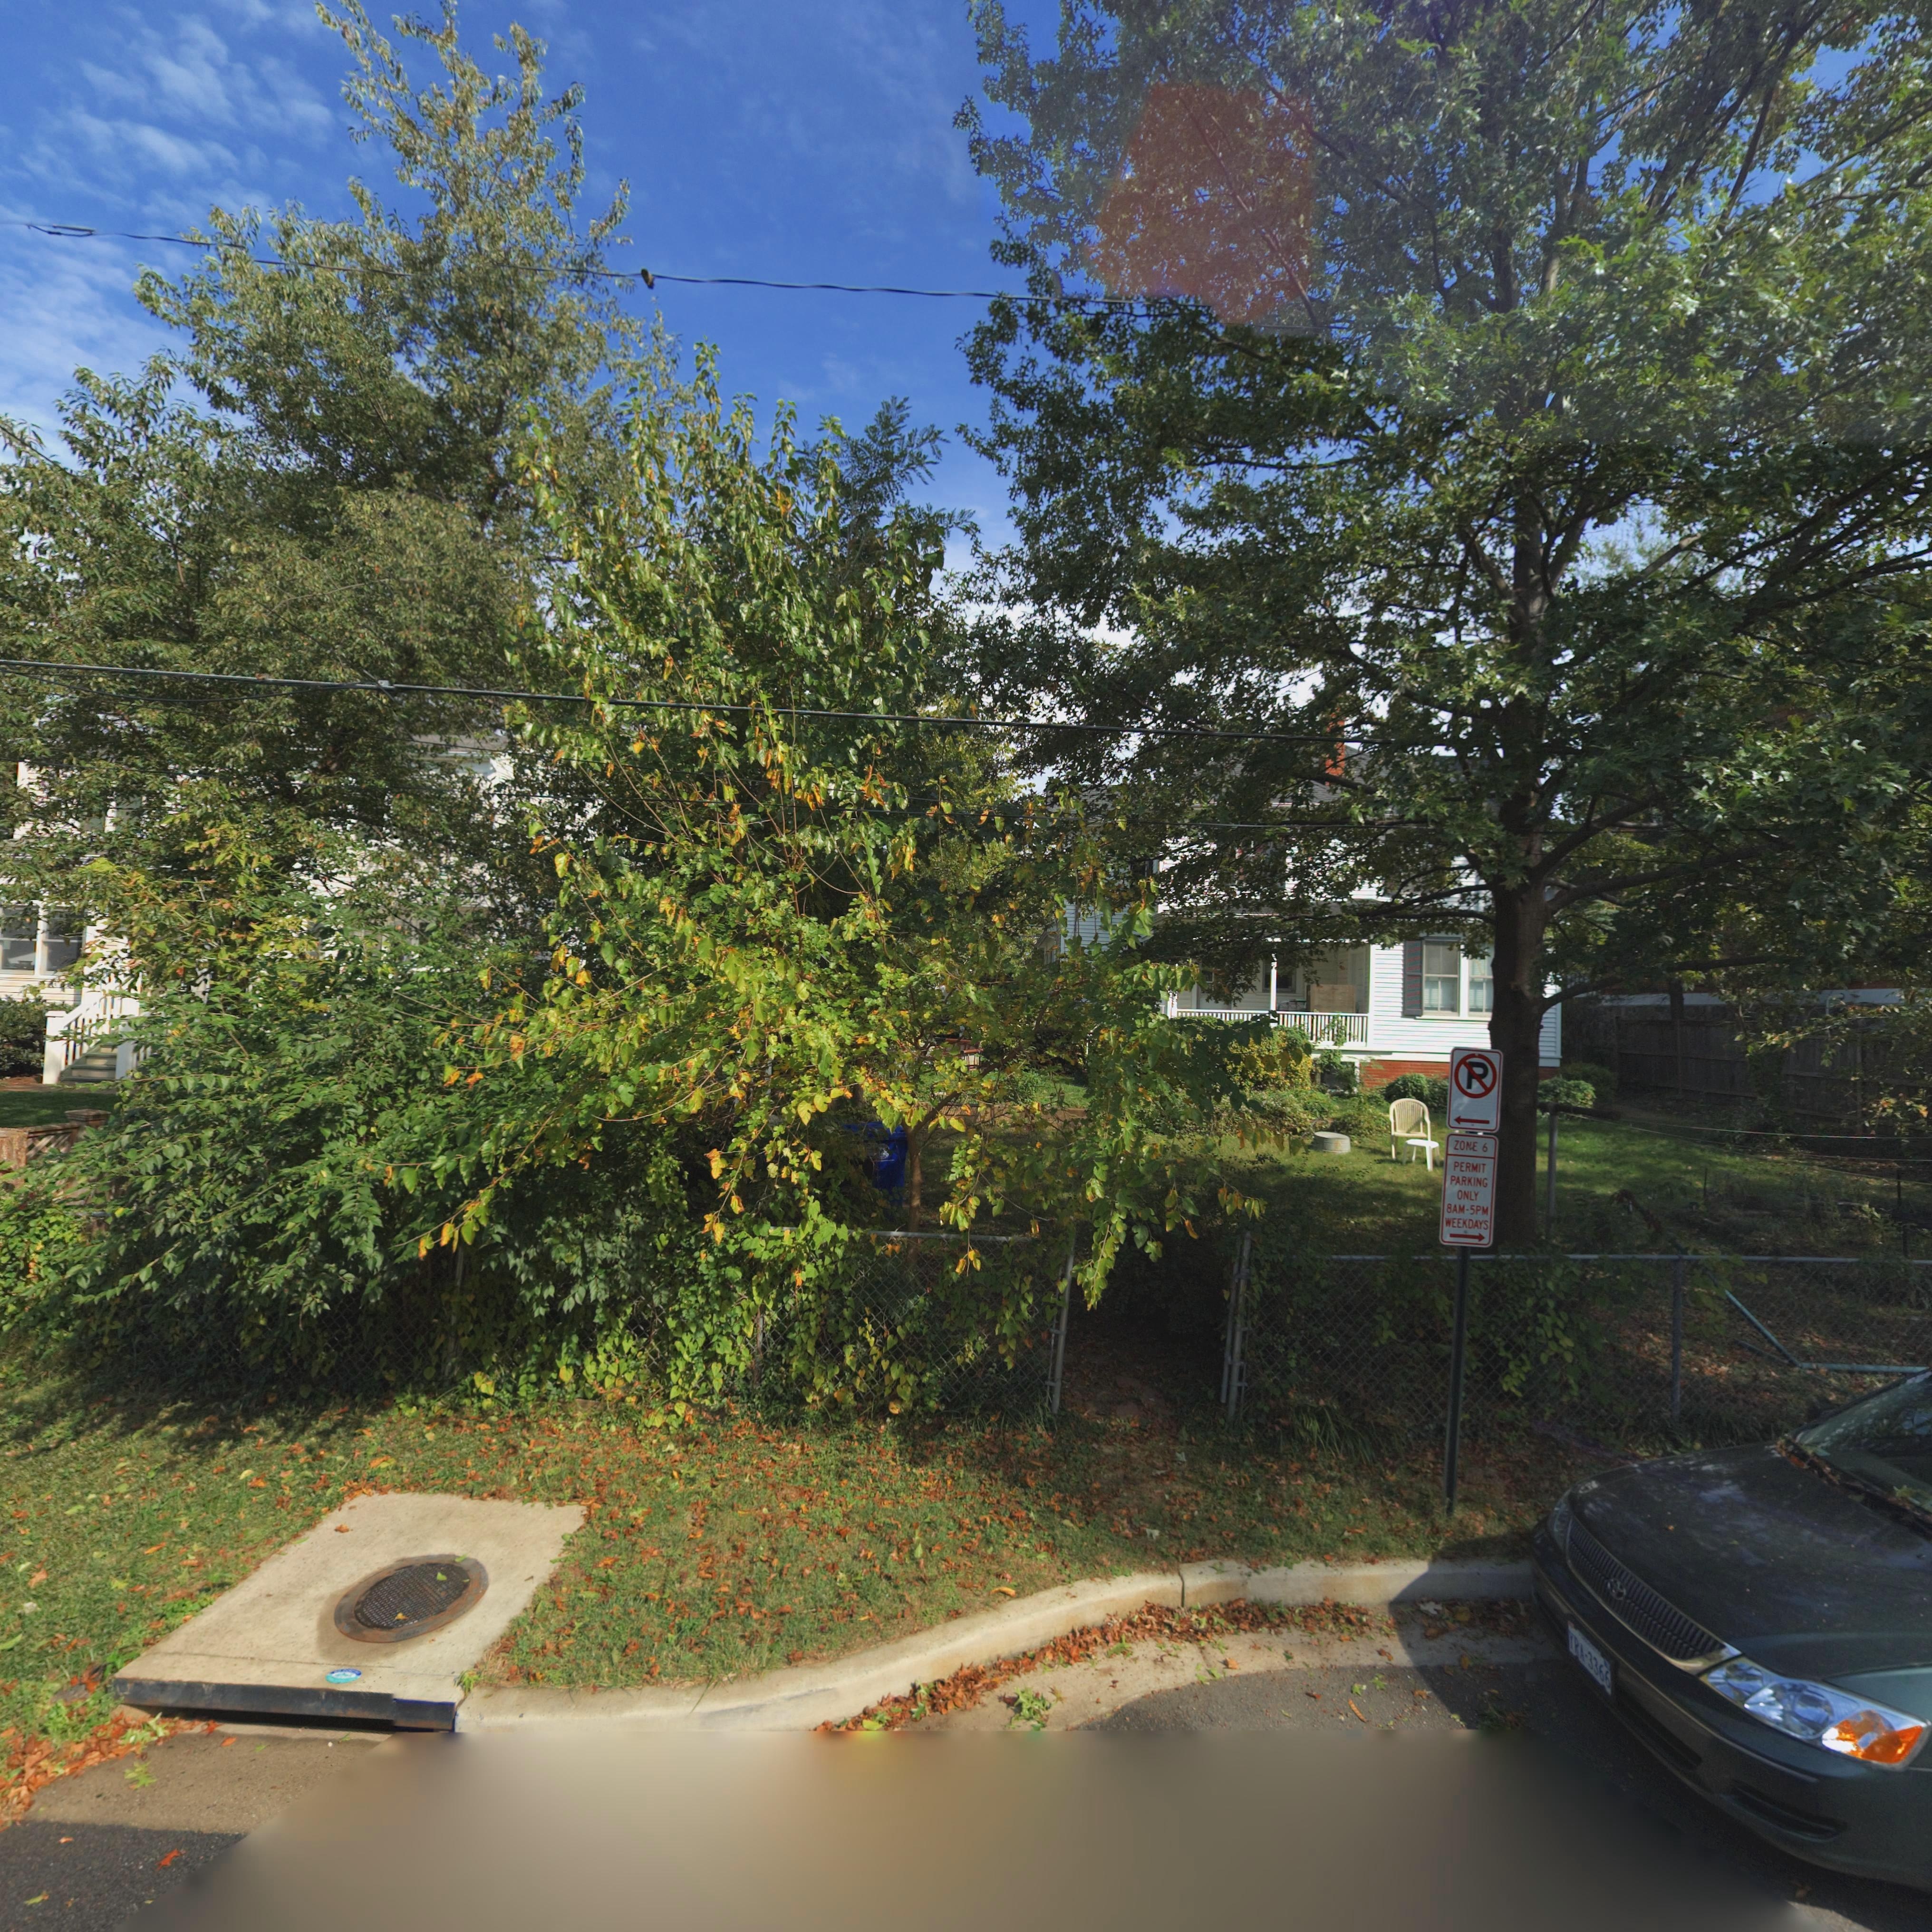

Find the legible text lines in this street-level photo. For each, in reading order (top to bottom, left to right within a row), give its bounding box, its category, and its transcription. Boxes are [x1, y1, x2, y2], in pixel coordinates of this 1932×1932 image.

[1452, 1139, 1489, 1153] None: ZO*E 6
[1452, 1160, 1488, 1174] None: PERMIT
[1449, 1174, 1489, 1188] None: PARKING
[1456, 1188, 1480, 1202] None: ONLY
[1445, 1202, 1490, 1217] None: 8AM-5PM
[1443, 1216, 1490, 1231] None: WEEKDAYS
[1566, 1627, 1613, 1691] None: *RA-3366